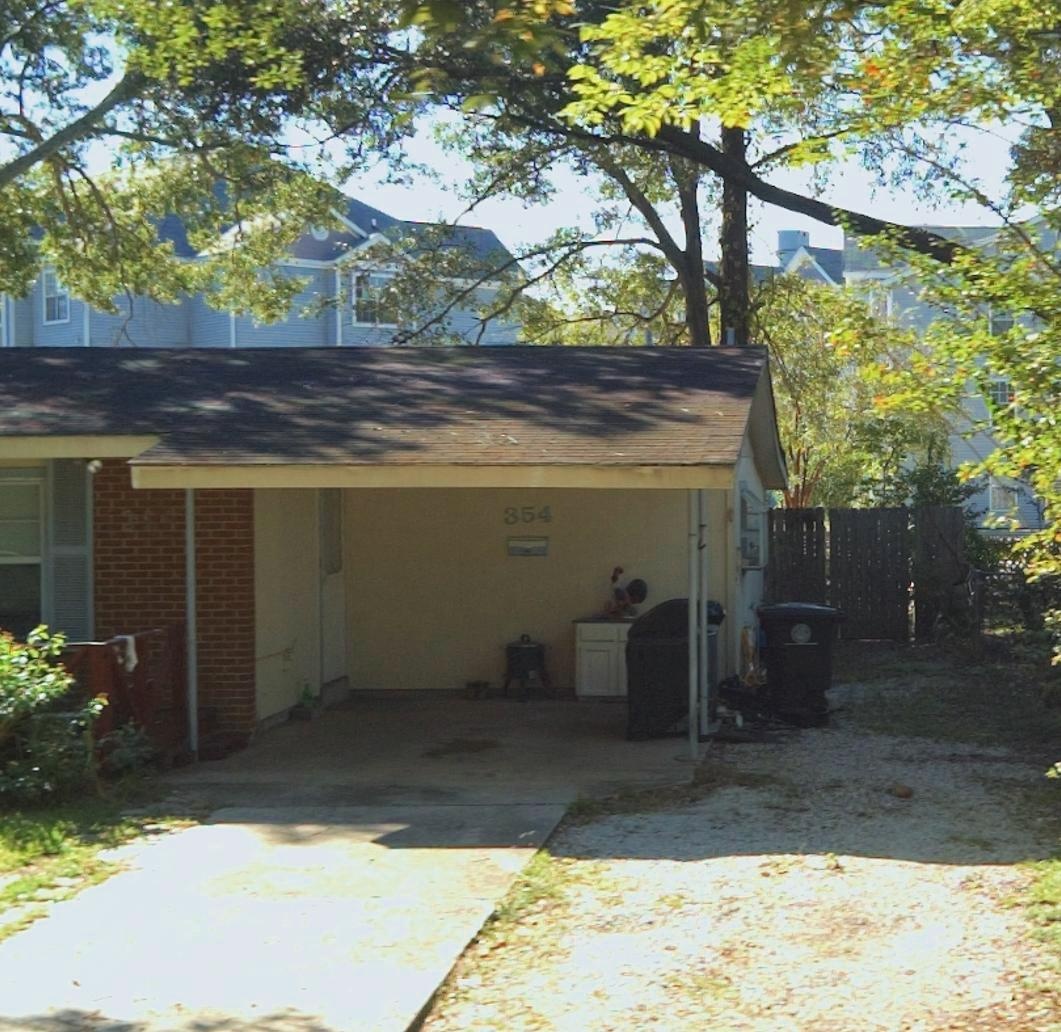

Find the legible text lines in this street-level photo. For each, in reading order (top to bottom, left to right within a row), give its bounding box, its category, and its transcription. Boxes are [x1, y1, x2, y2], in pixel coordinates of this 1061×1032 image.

[502, 504, 554, 526] StreetNumber: 354